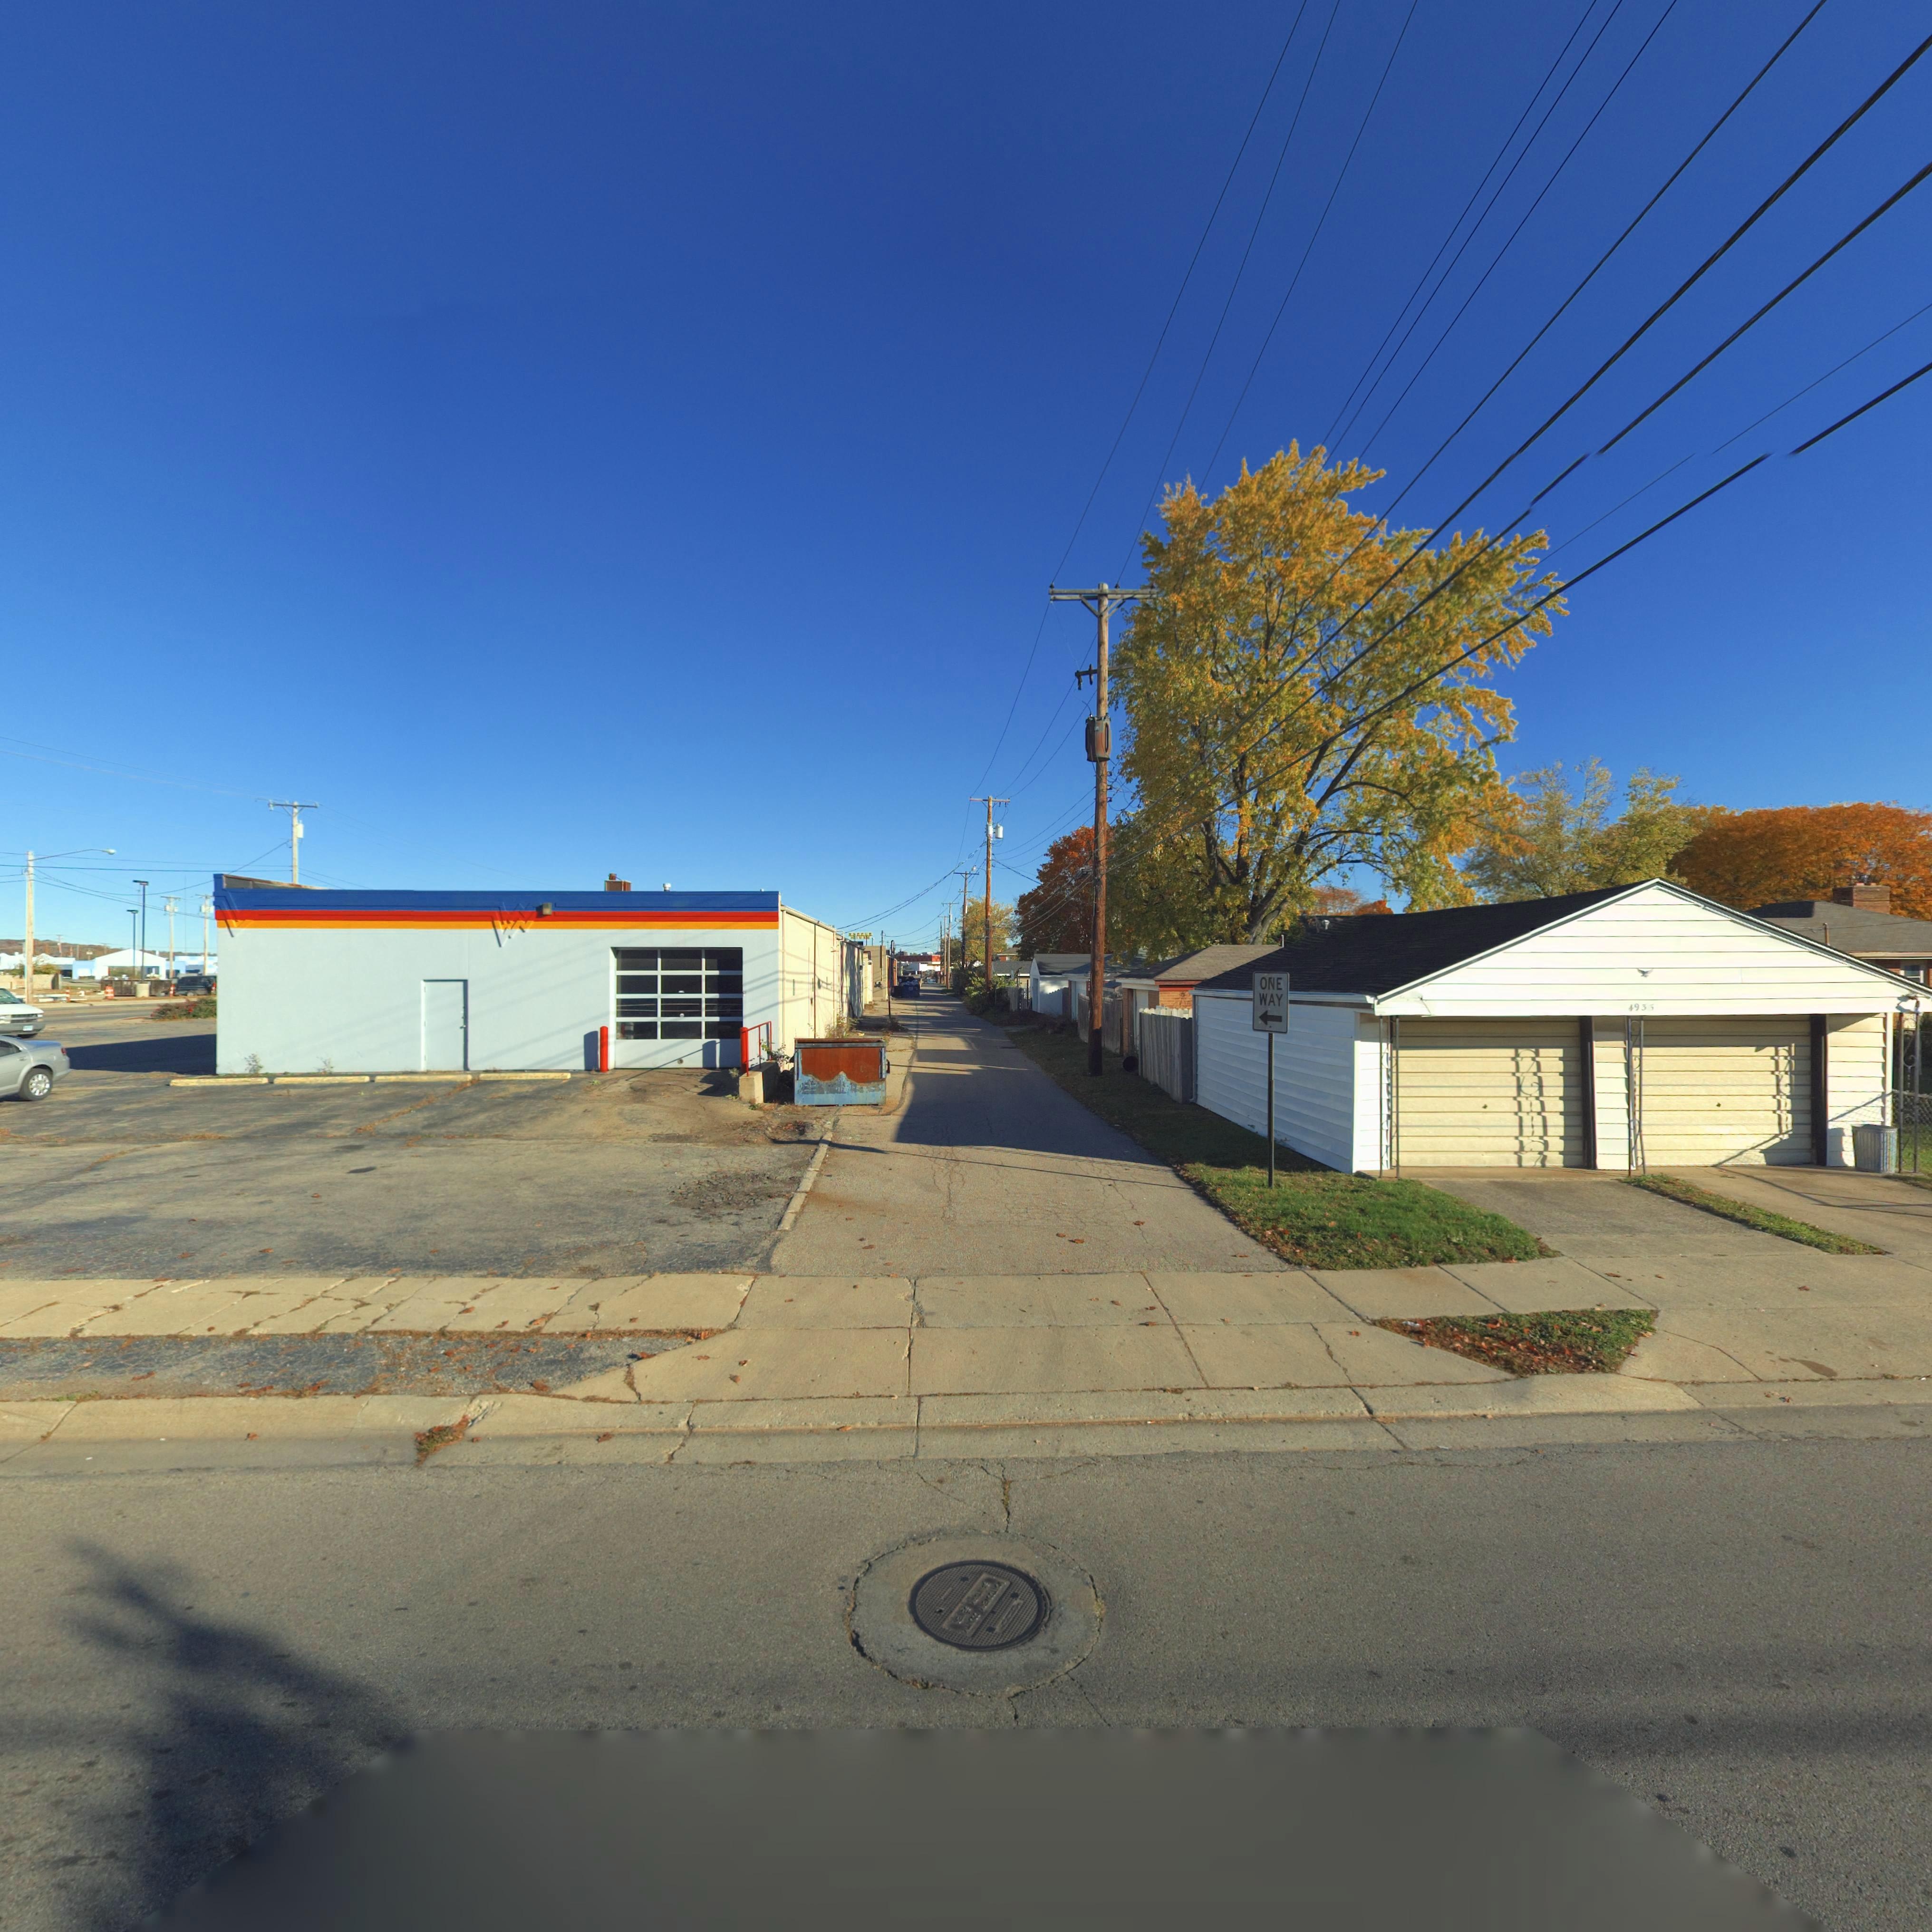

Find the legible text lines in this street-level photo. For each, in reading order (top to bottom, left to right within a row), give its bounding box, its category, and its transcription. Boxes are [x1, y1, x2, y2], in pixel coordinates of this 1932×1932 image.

[1627, 1002, 1655, 1013] StreetNumber: 4935